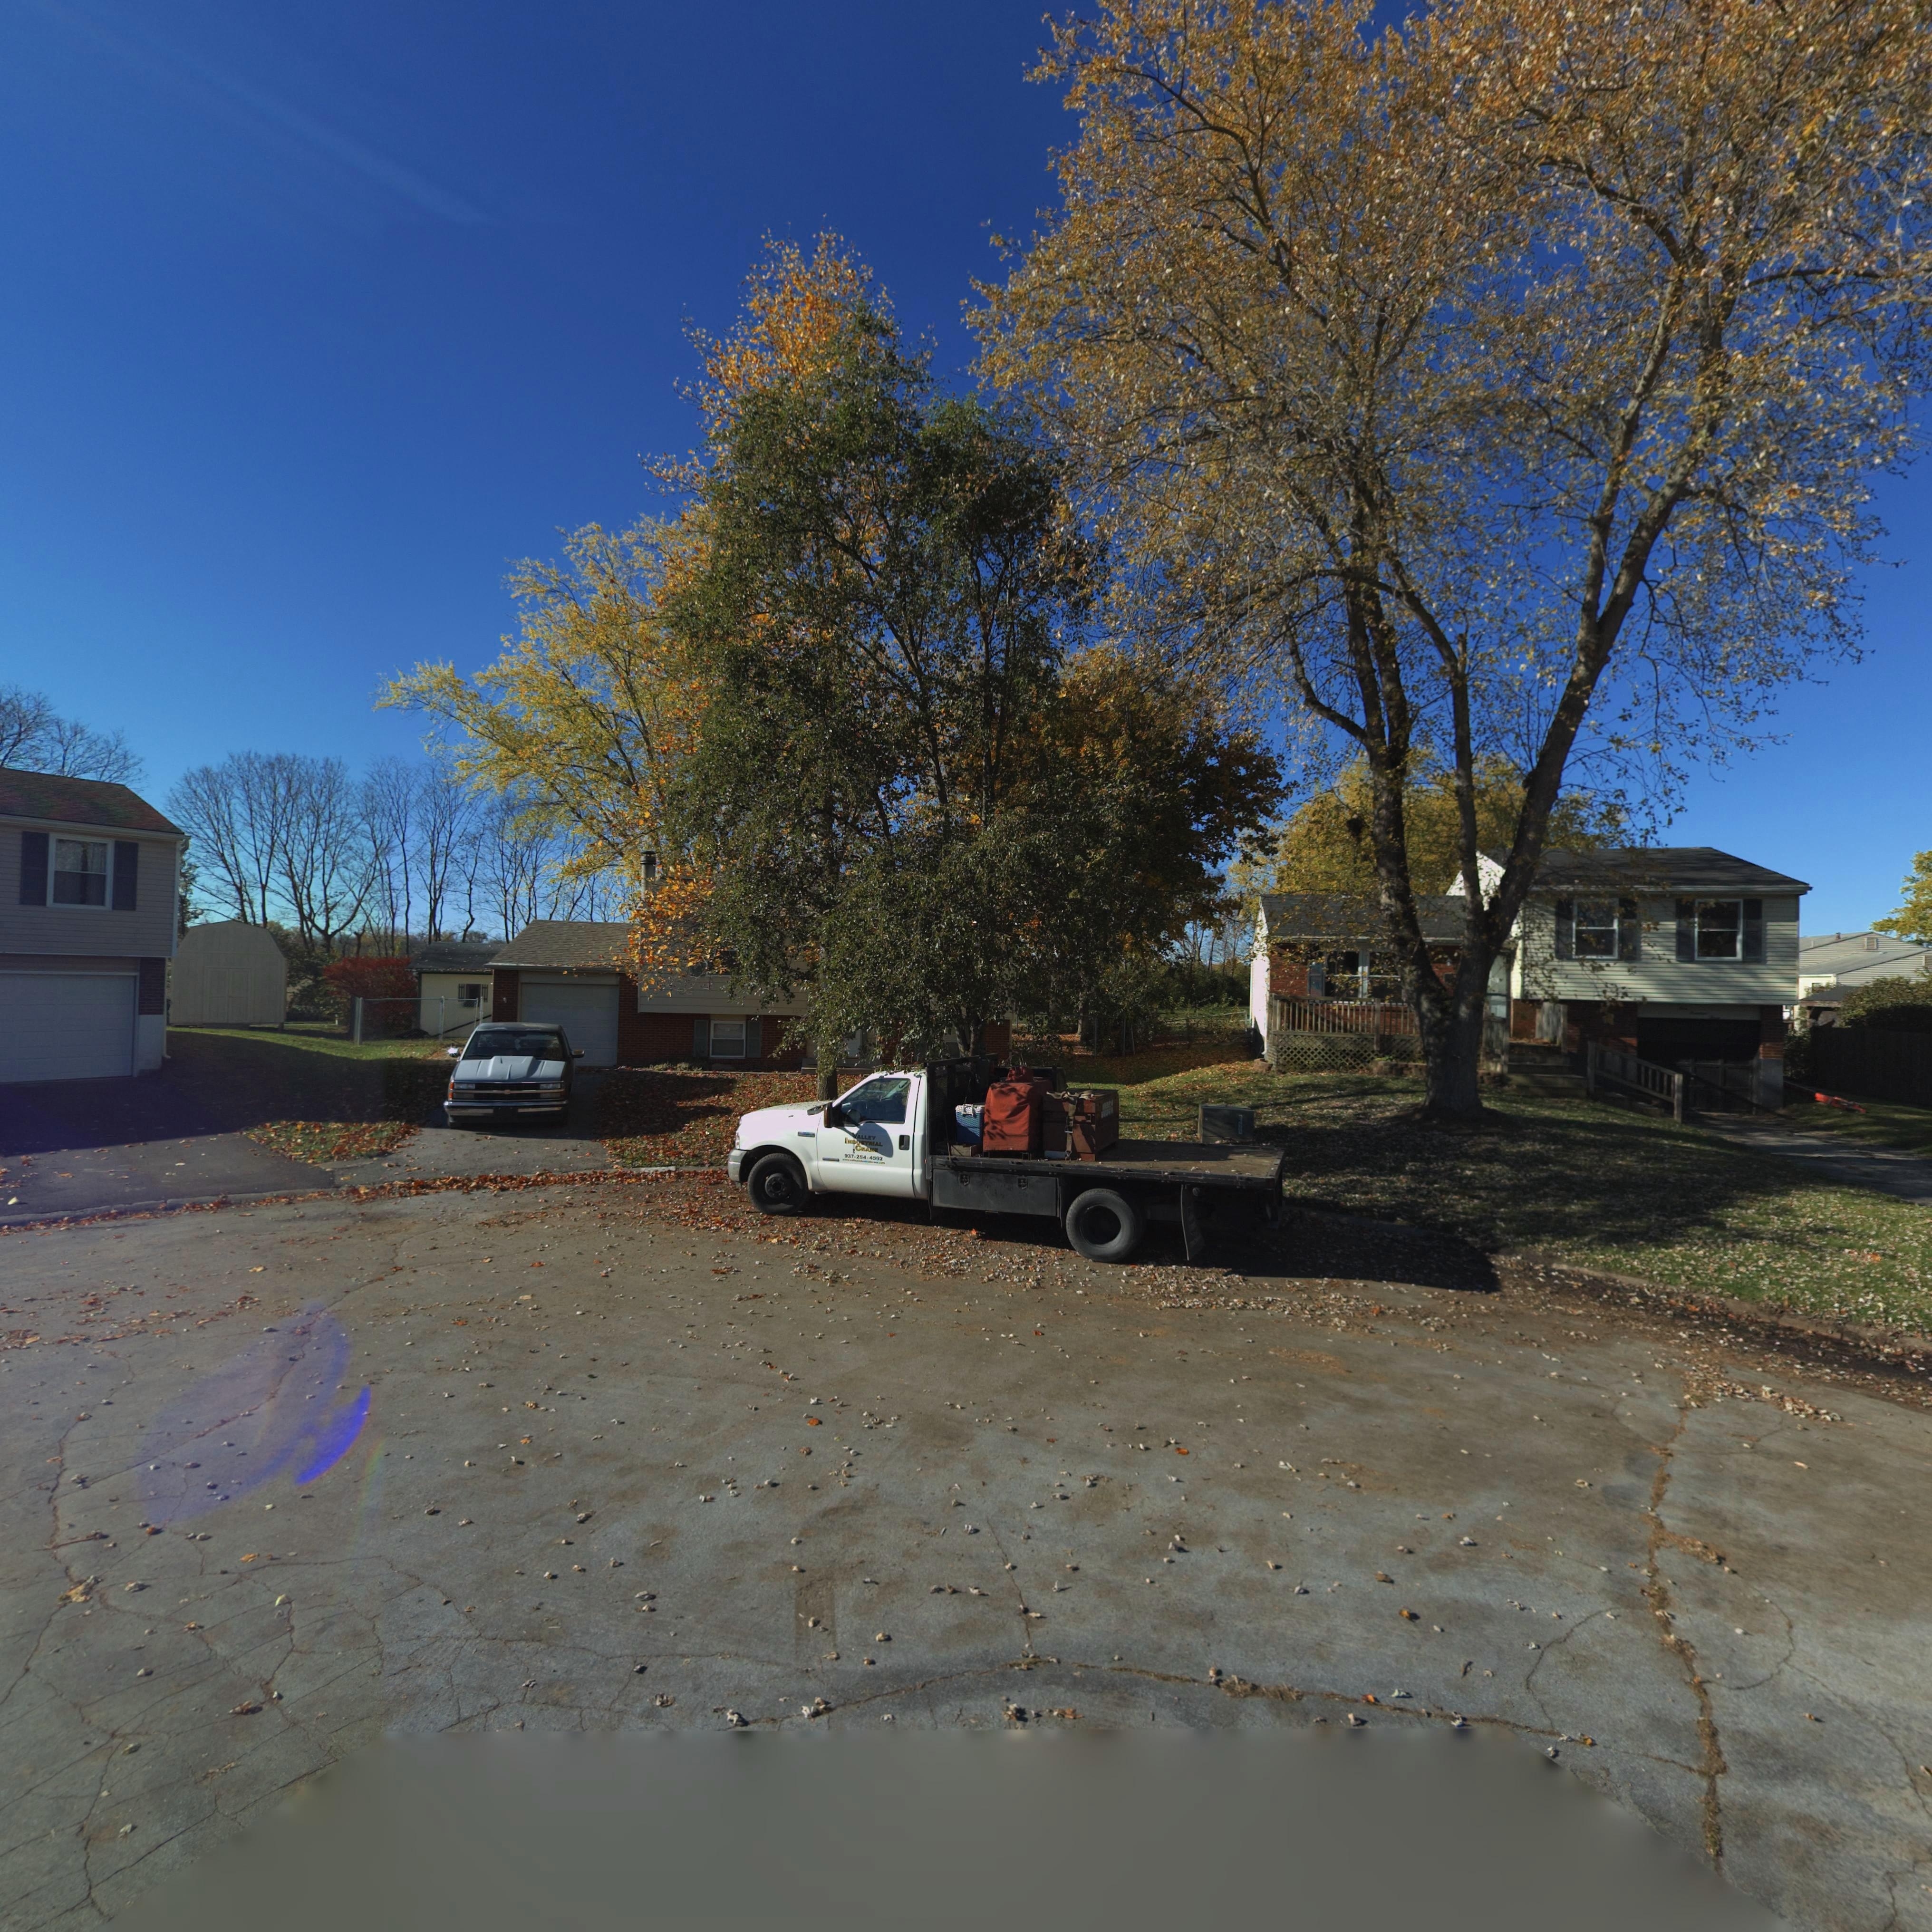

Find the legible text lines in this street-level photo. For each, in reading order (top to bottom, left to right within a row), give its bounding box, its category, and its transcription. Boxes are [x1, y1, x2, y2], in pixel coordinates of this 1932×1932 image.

[792, 1009, 802, 1015] StreetNumber: 105